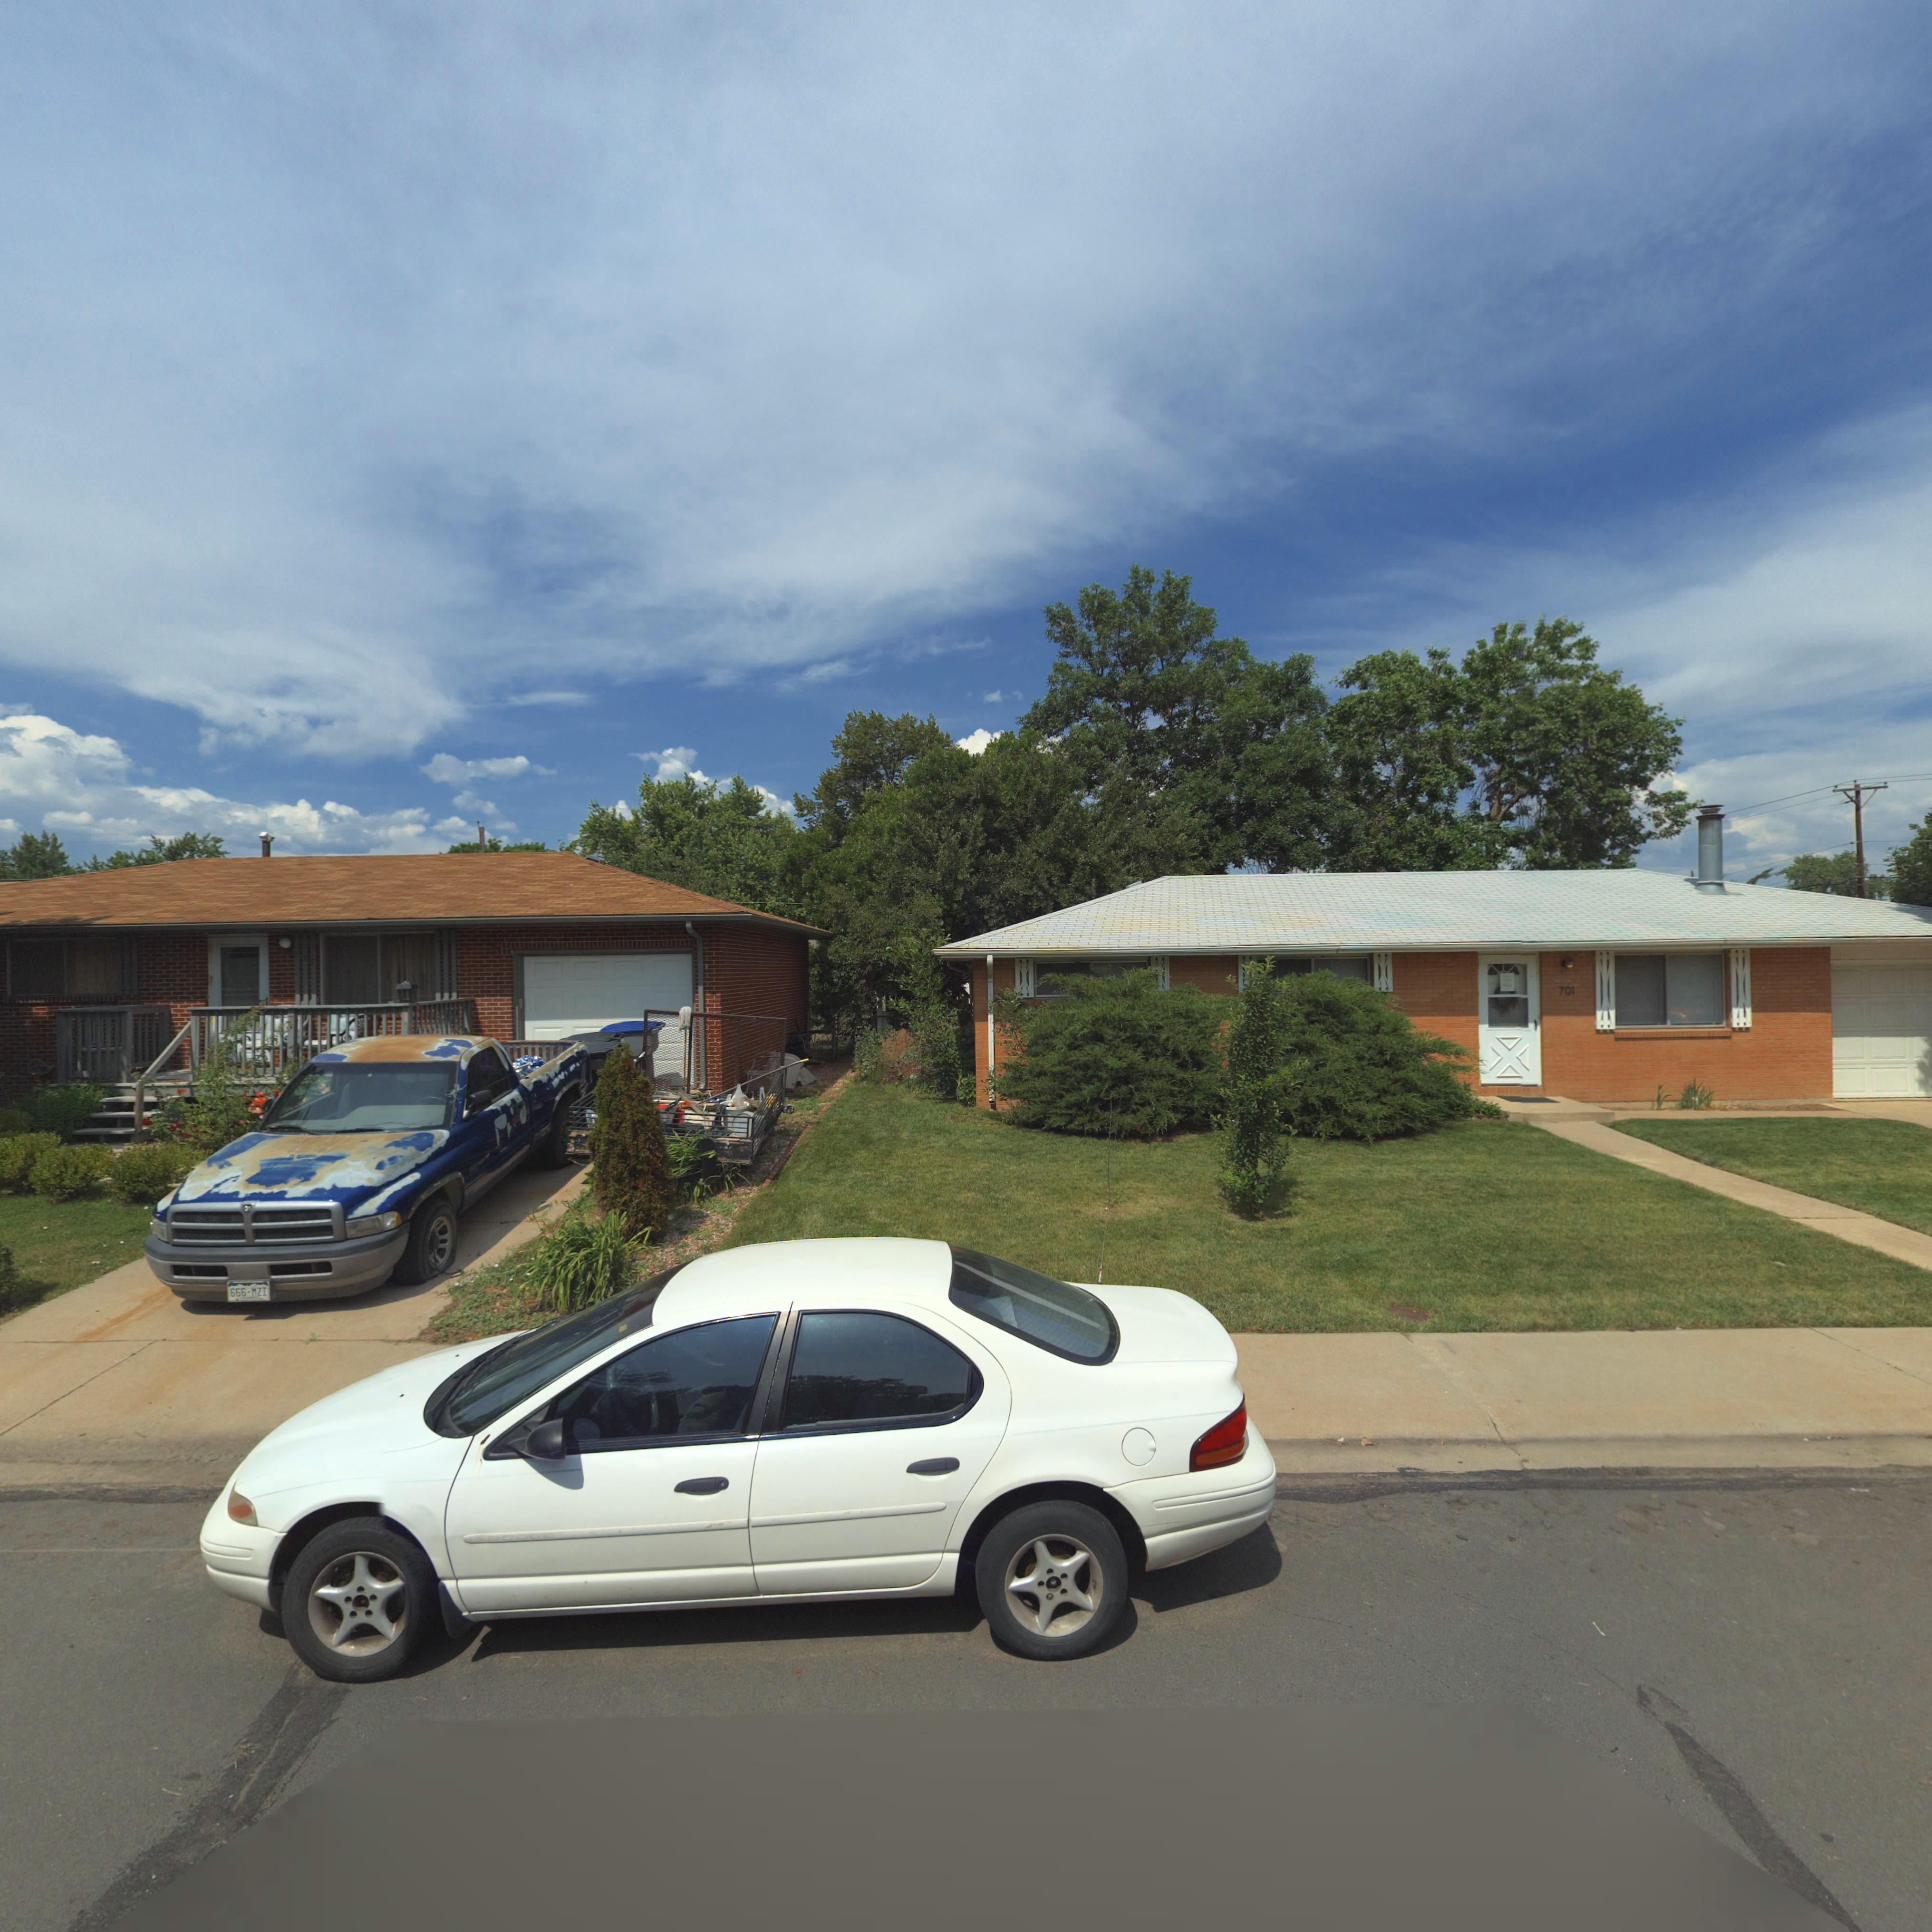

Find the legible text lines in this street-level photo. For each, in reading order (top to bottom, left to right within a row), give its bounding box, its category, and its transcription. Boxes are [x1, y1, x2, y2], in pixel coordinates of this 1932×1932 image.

[1558, 985, 1575, 995] StreetNumber: 701